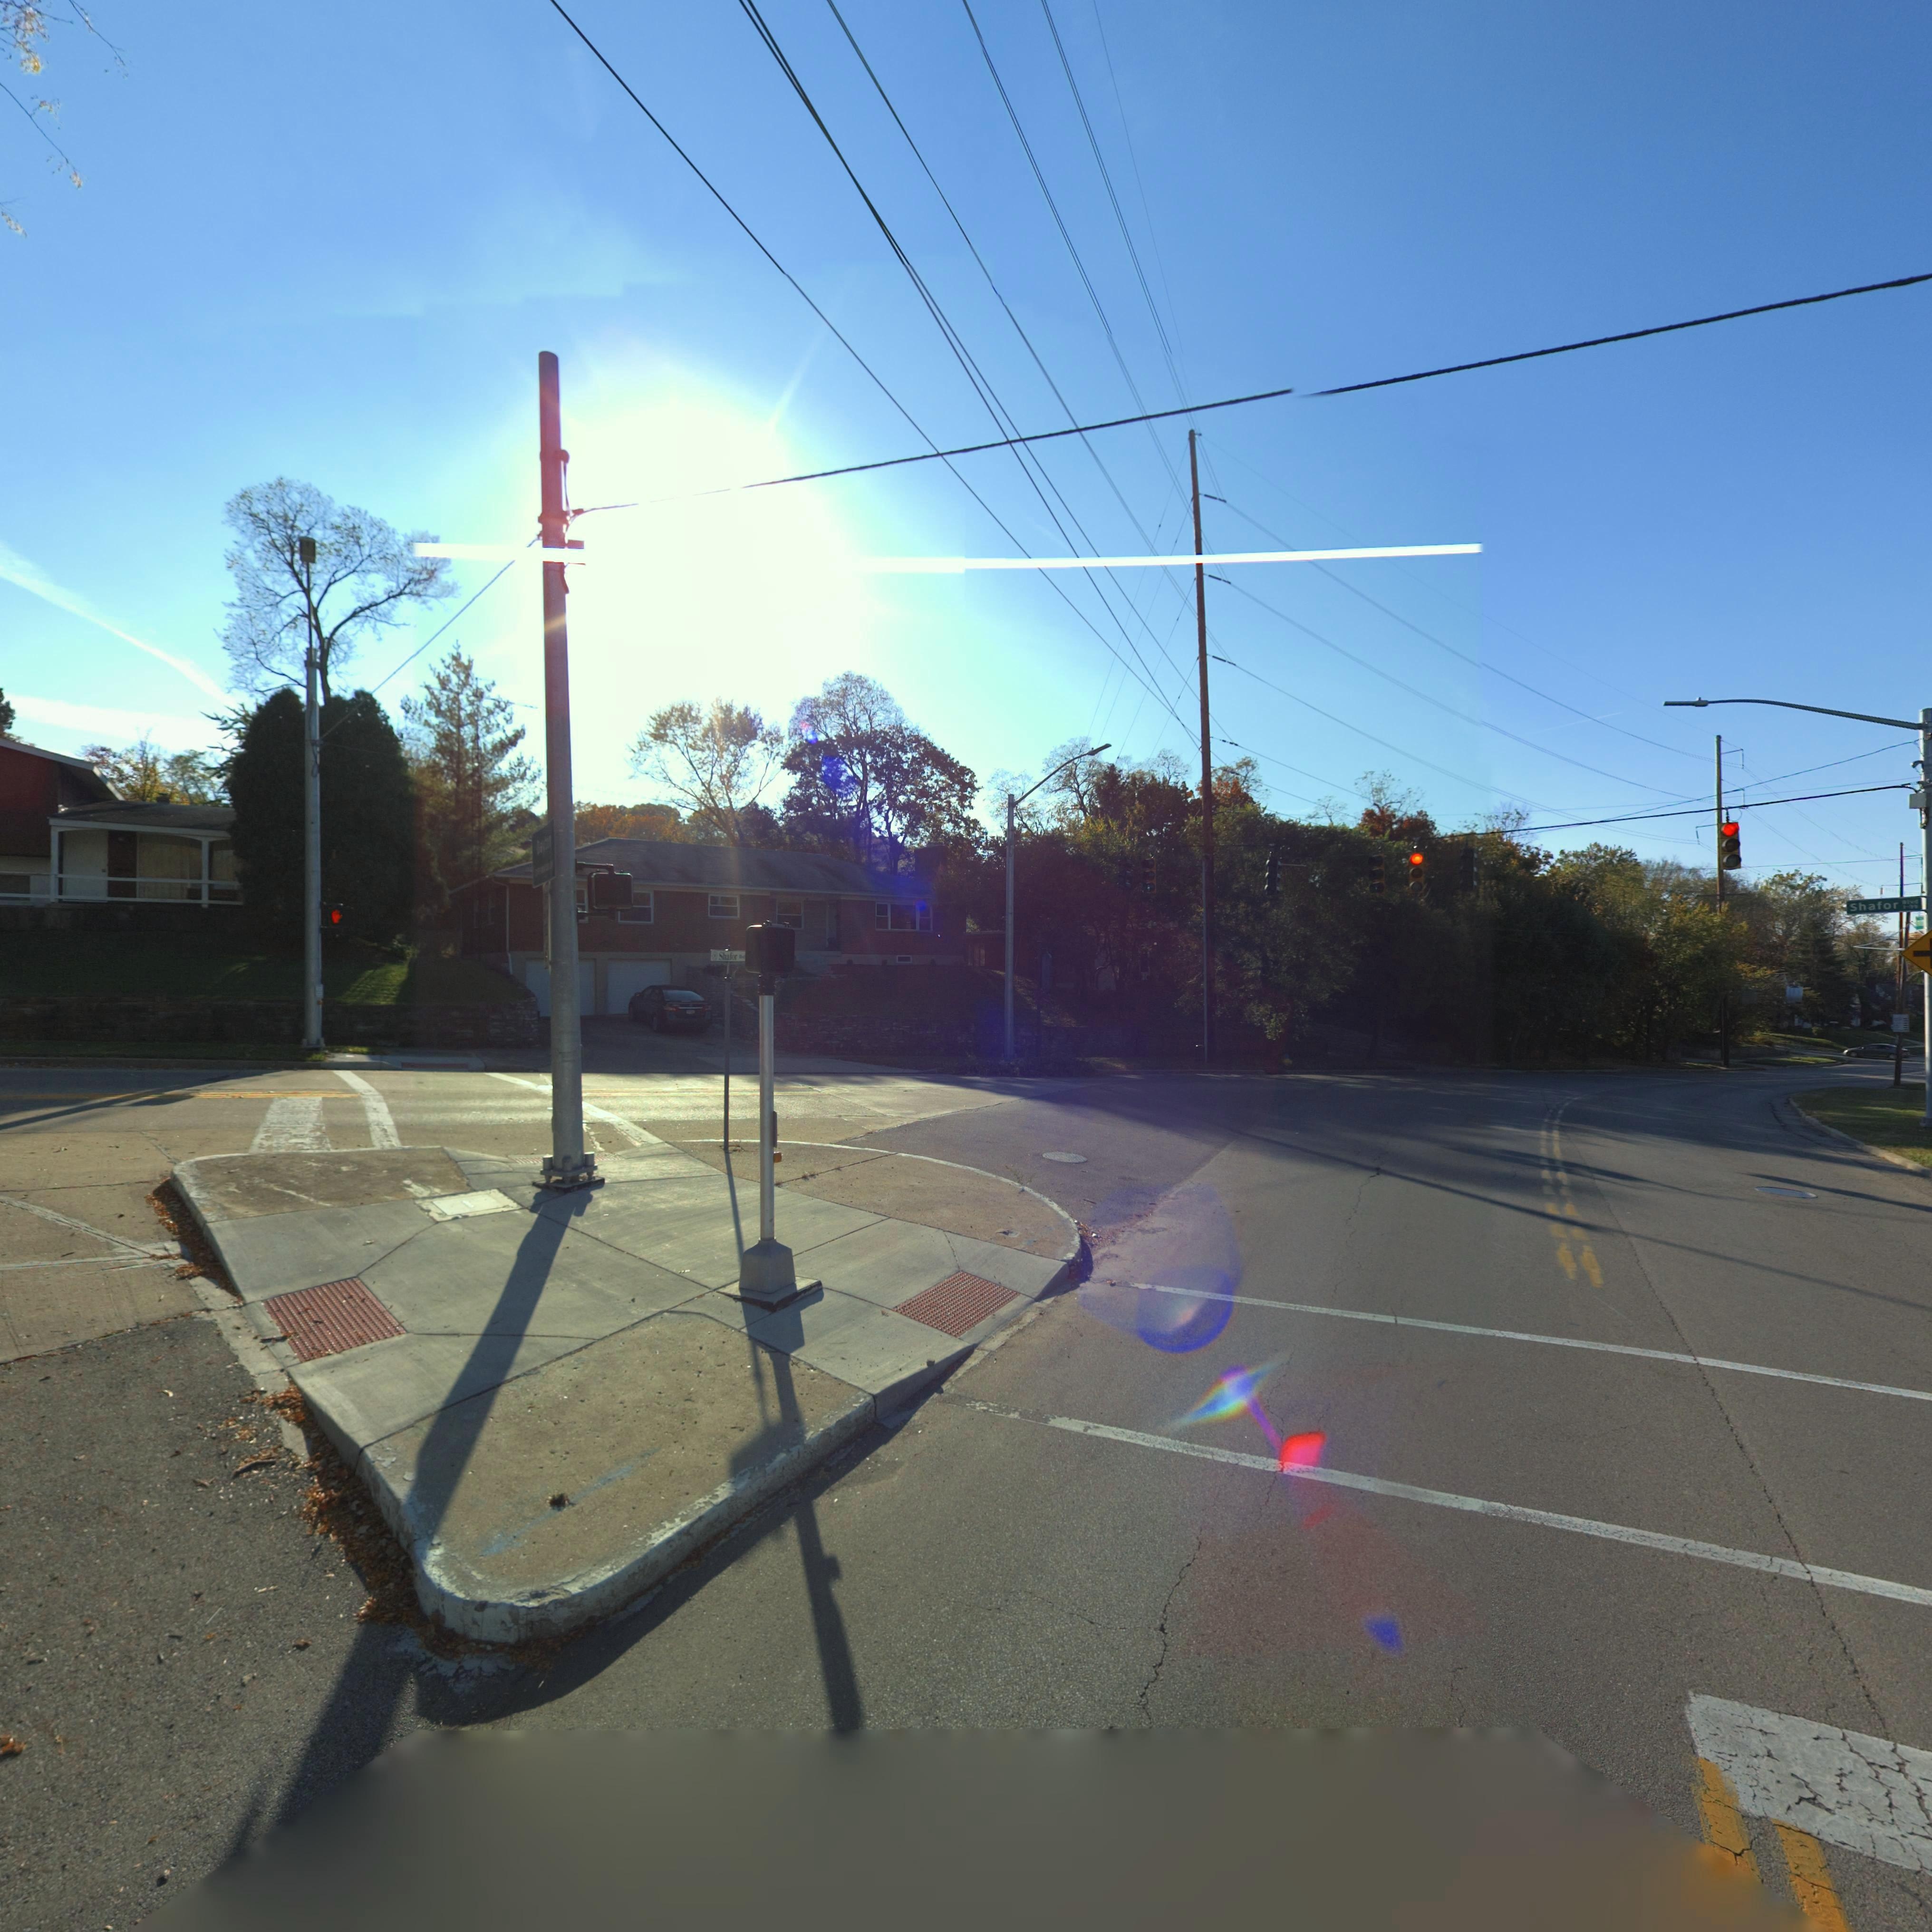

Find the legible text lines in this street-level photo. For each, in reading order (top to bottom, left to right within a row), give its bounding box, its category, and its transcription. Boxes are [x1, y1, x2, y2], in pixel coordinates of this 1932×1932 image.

[1849, 900, 1900, 912] StreetName: Shafor